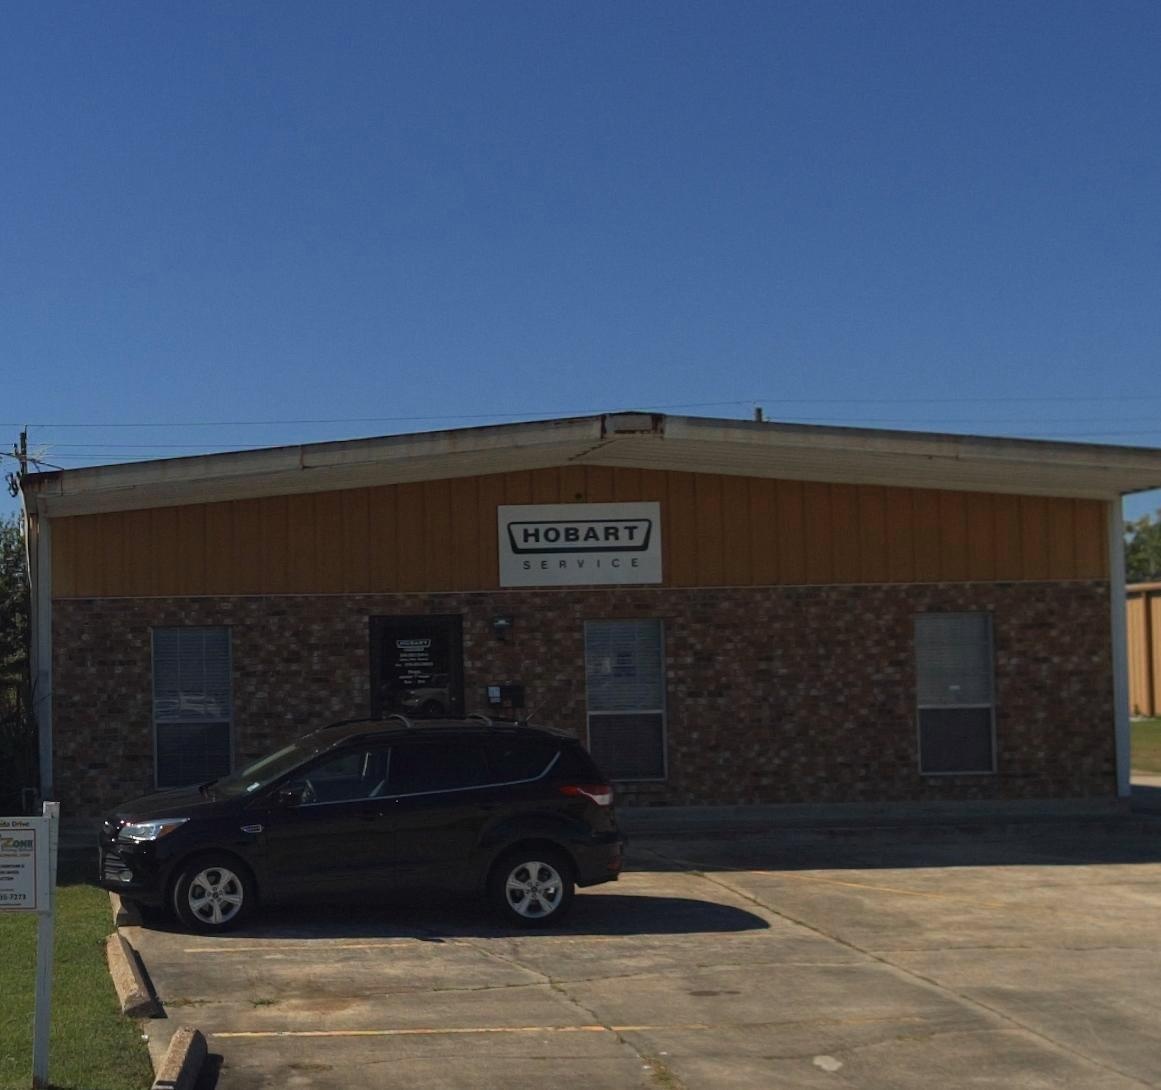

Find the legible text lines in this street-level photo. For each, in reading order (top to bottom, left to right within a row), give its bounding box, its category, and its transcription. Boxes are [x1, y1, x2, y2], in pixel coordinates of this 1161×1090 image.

[520, 522, 642, 547] BusinessName: HOBART
[520, 554, 642, 573] BusinessName: SERVICE
[0, 835, 35, 852] None: ZON*